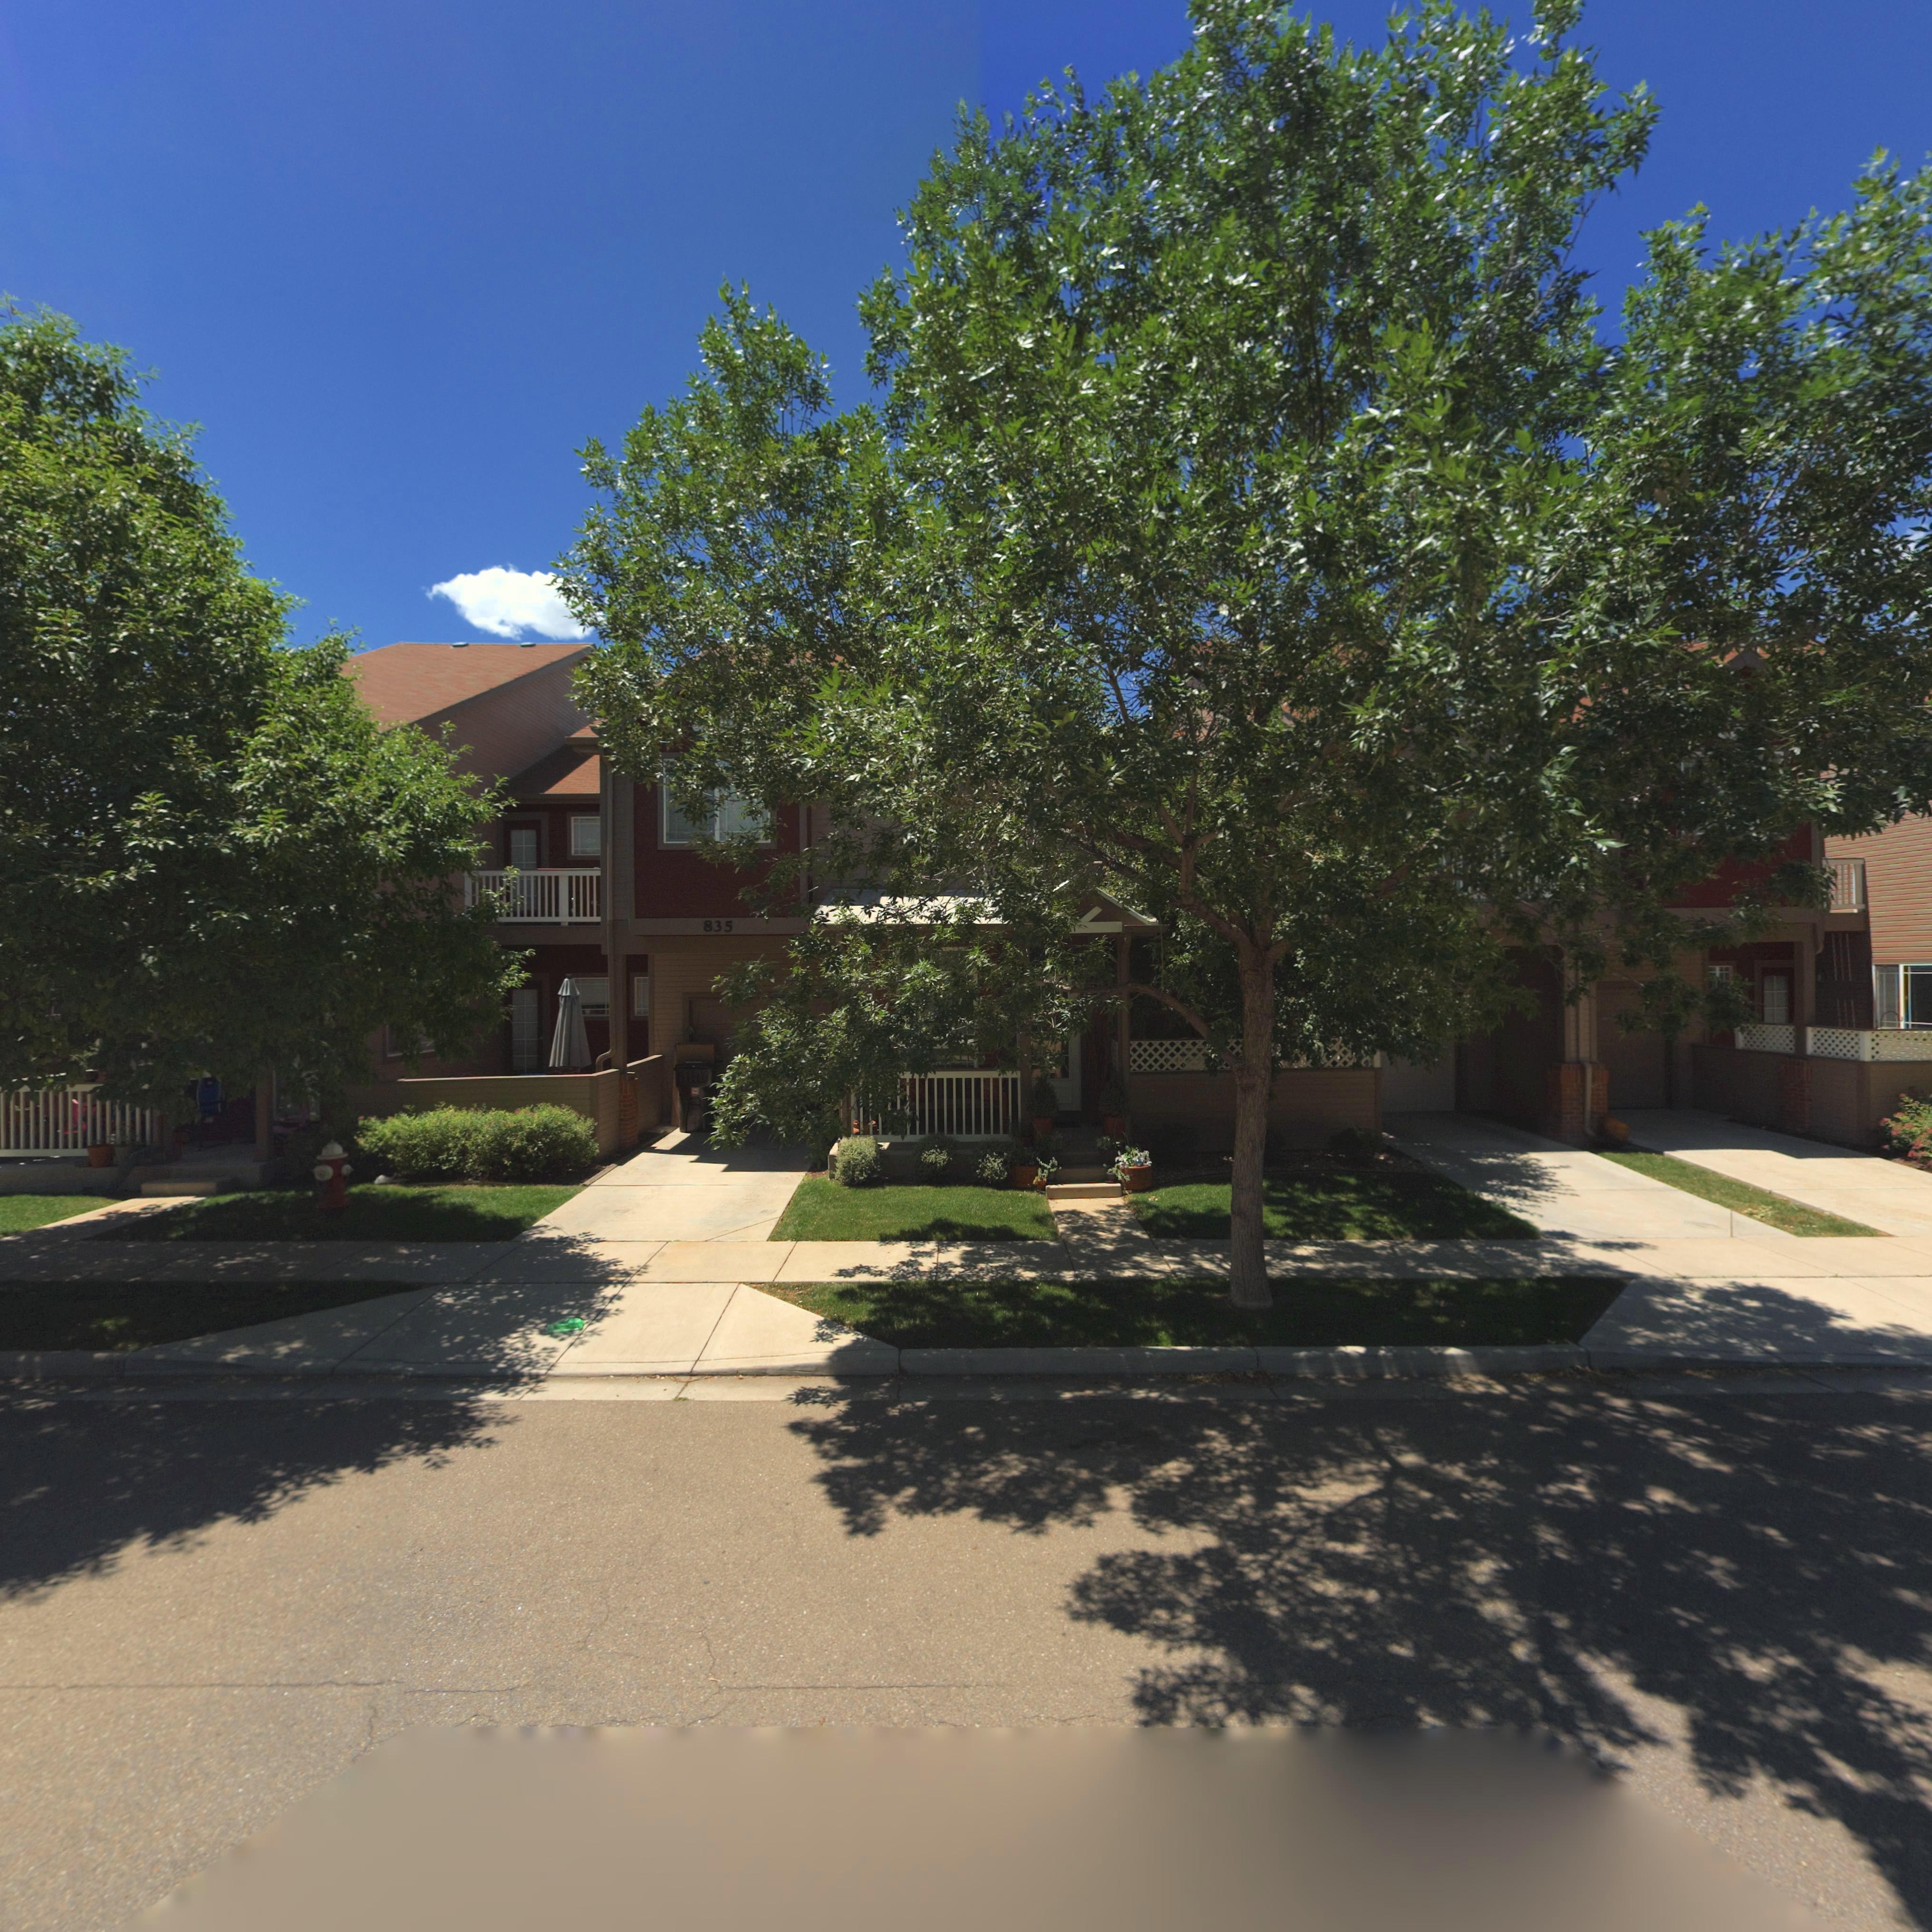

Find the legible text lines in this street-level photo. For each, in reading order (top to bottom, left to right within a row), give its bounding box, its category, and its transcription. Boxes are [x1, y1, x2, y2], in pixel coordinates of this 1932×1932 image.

[703, 920, 733, 932] StreetNumber: 835